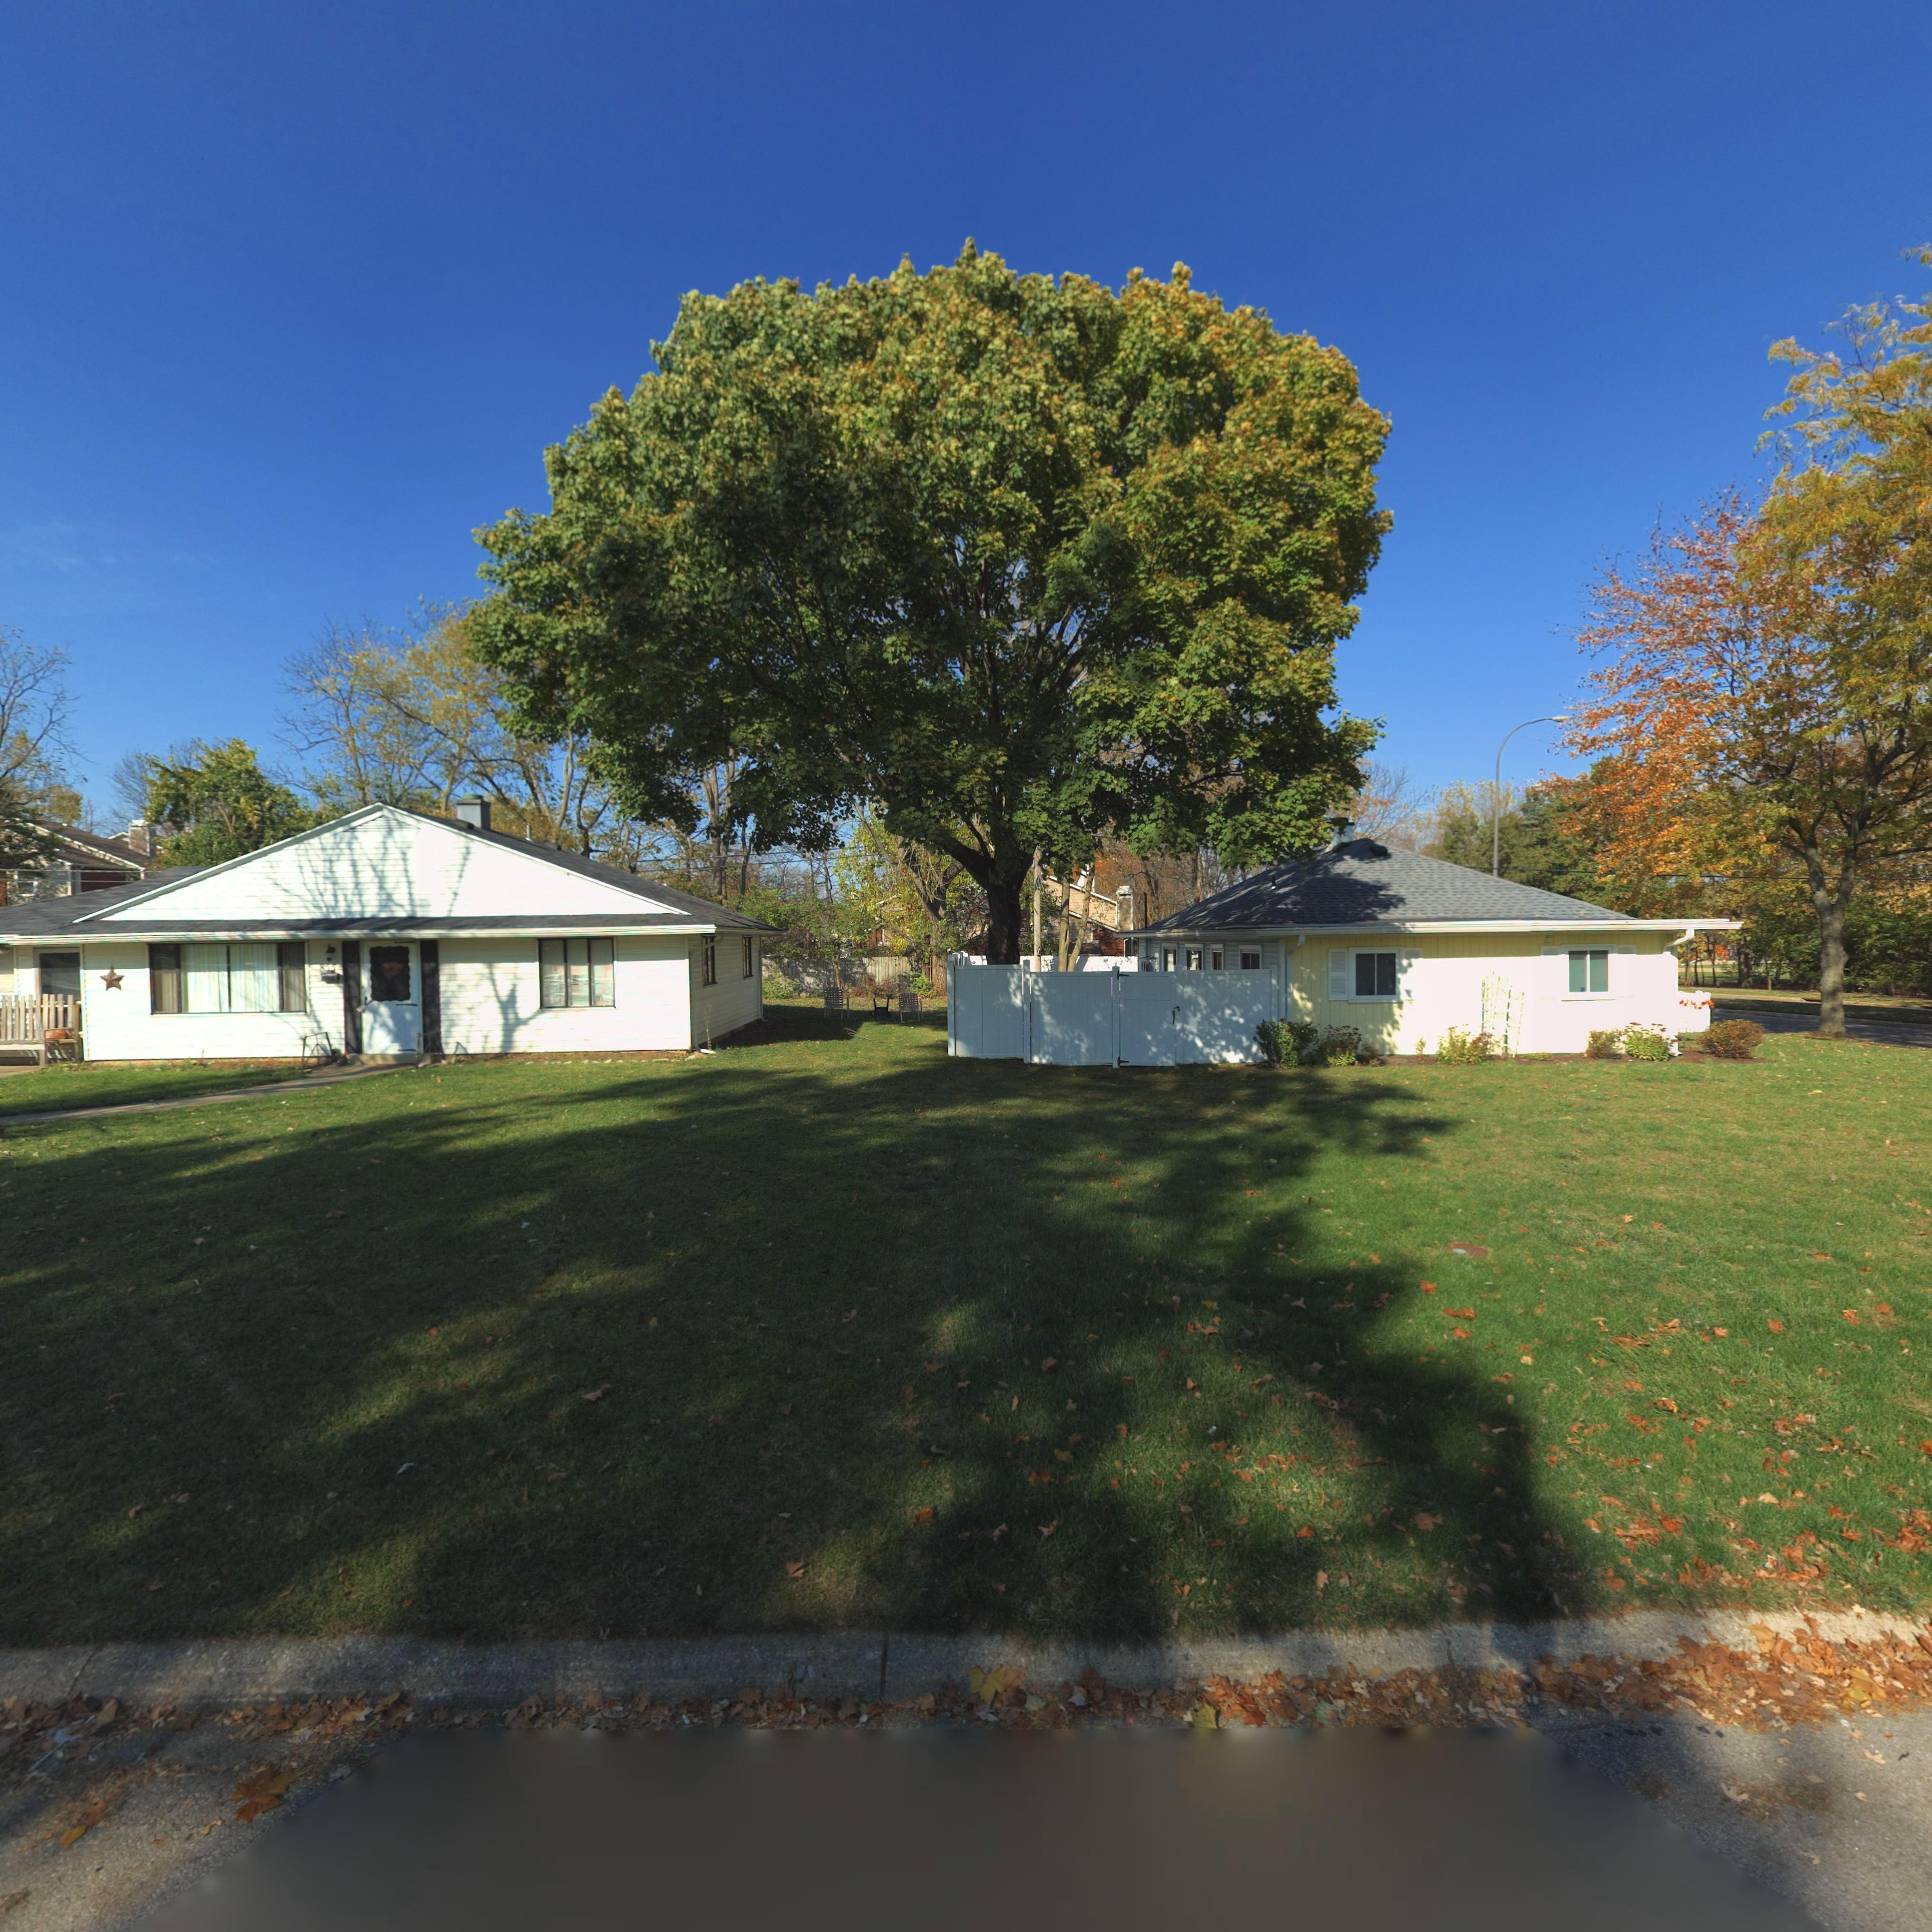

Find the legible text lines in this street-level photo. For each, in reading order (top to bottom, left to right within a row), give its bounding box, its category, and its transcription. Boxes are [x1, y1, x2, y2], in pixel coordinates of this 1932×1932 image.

[319, 963, 336, 970] StreetNumber: *55